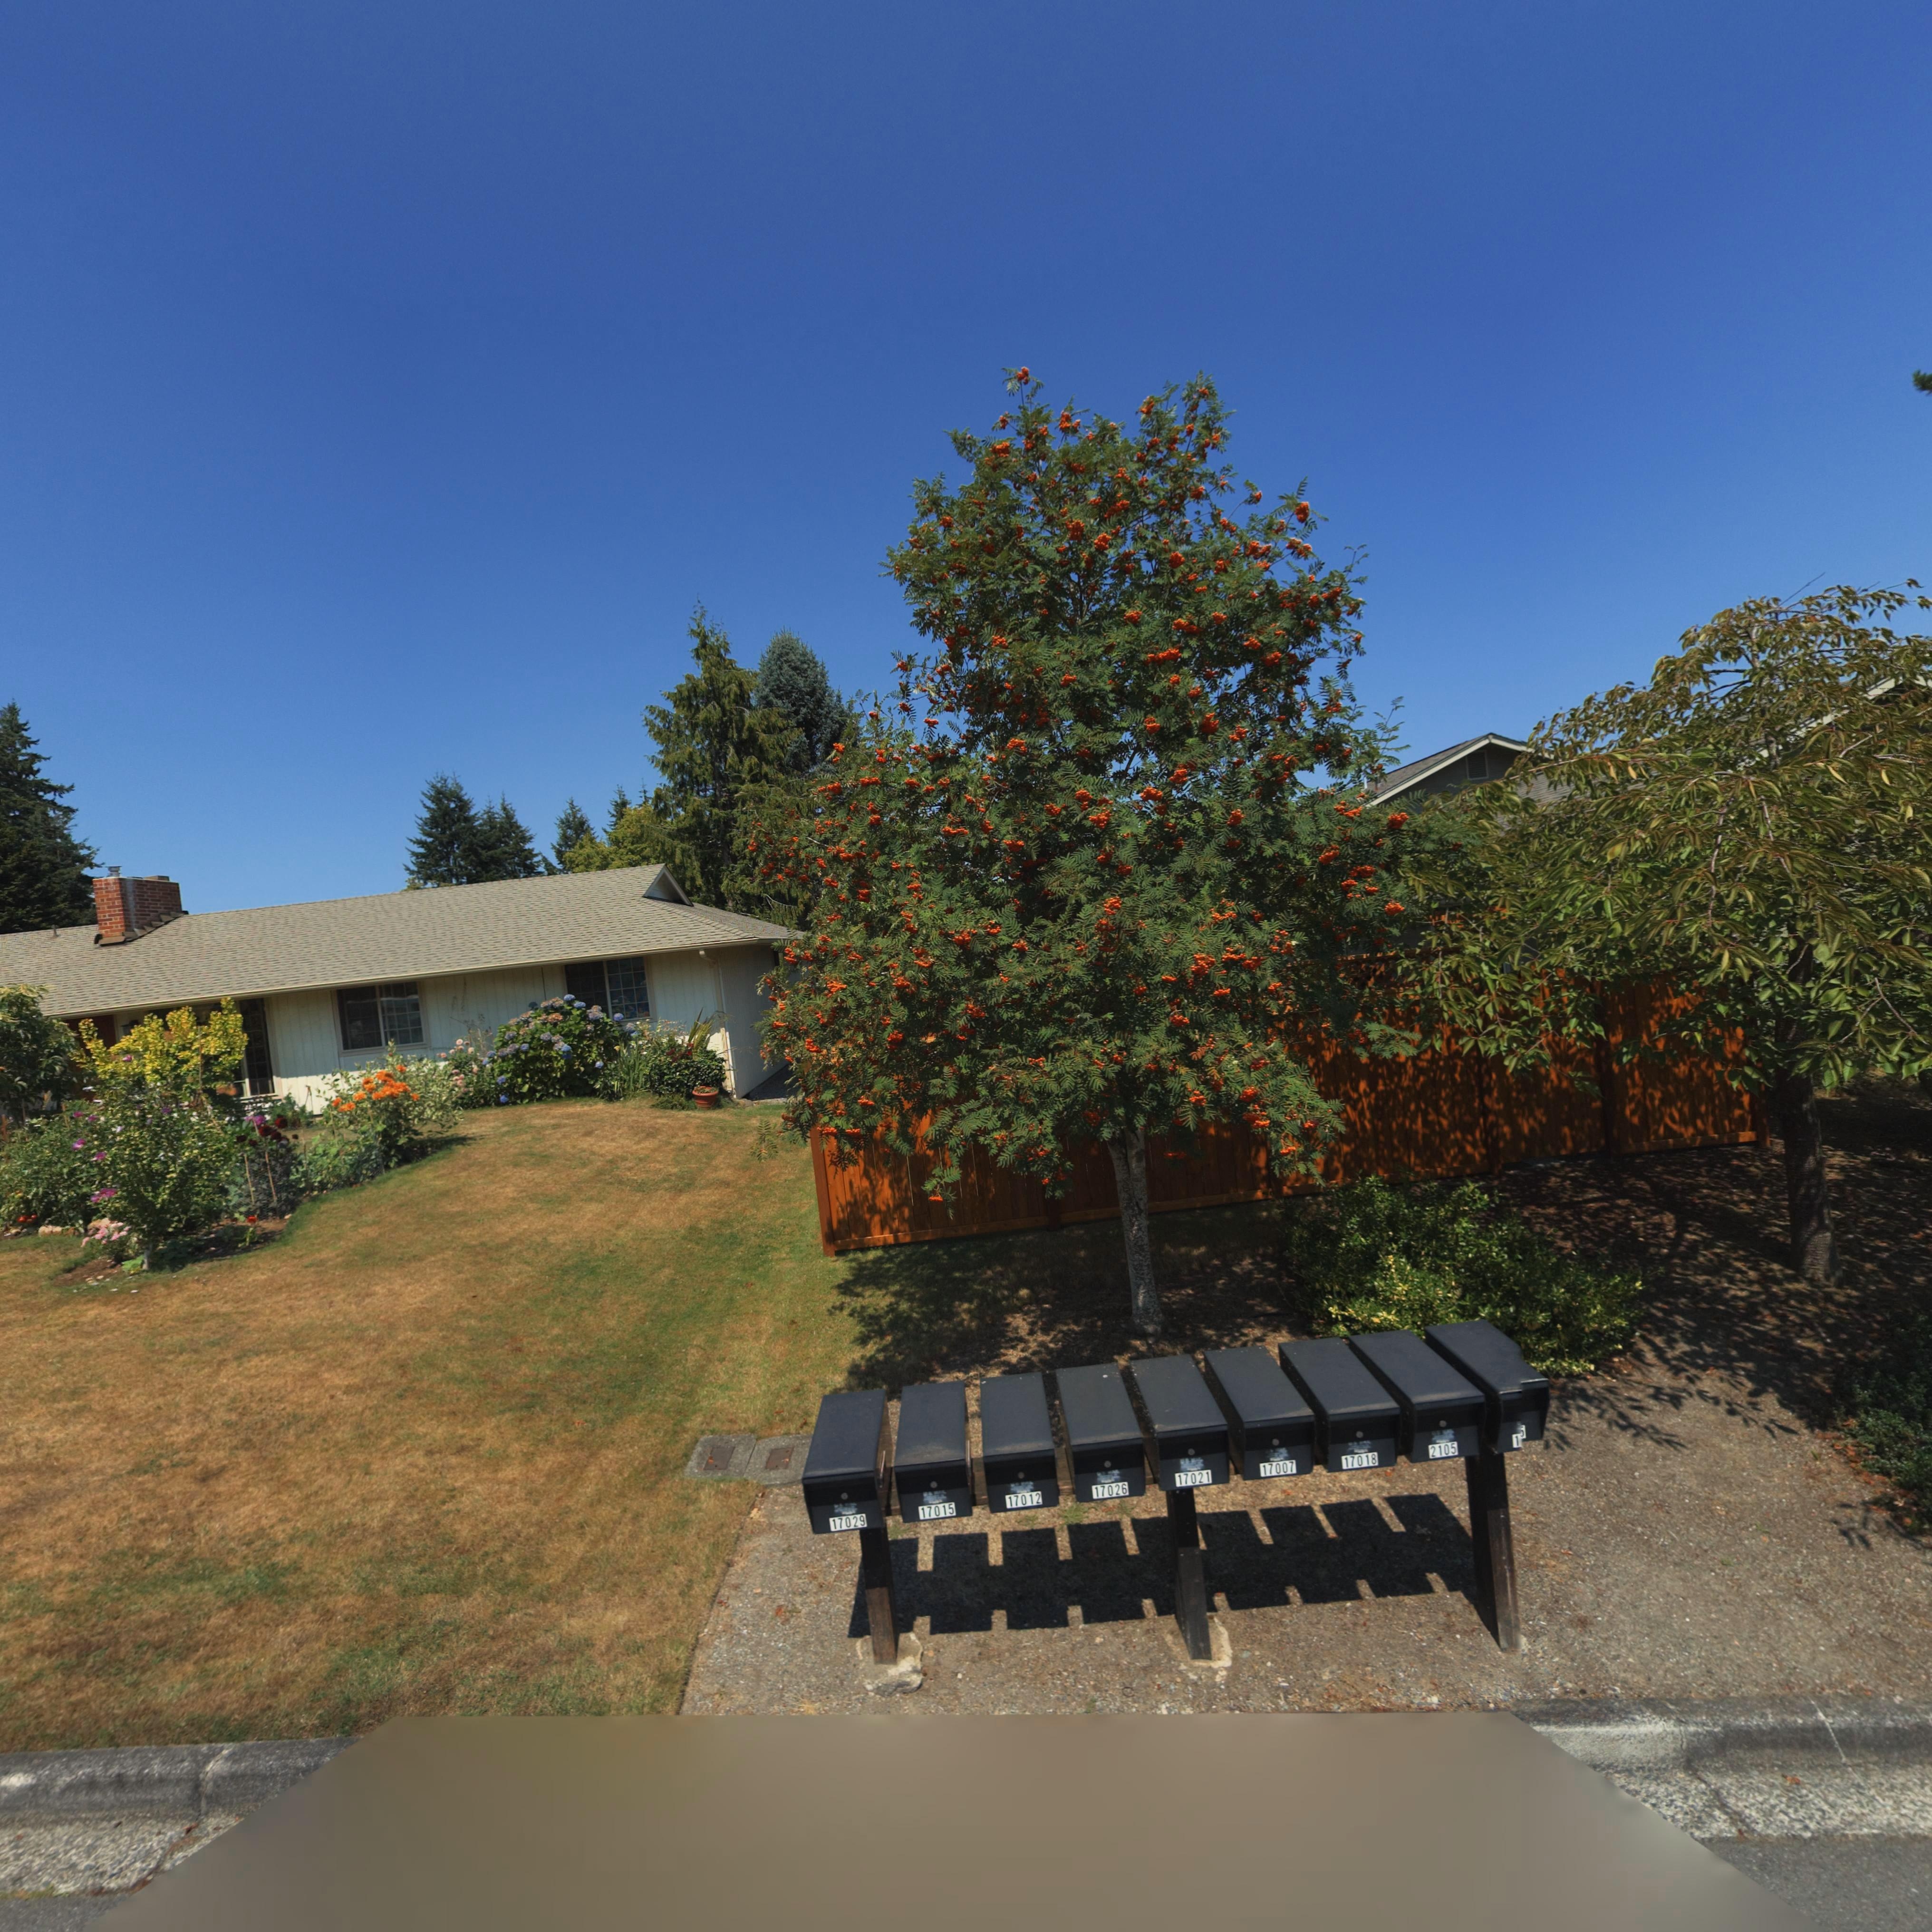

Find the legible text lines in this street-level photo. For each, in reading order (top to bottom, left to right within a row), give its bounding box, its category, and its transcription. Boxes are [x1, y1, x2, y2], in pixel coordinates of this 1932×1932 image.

[1430, 1442, 1457, 1458] StreetNumber: 2105
[1261, 1460, 1294, 1475] StreetNumber: 17007
[1343, 1453, 1377, 1468] StreetNumber: 17018
[1177, 1470, 1210, 1486] StreetNumber: 17021
[1094, 1482, 1128, 1497] StreetNumber: 17026
[1008, 1492, 1041, 1507] StreetNumber: 17012
[919, 1502, 954, 1519] StreetNumber: 17015
[831, 1514, 866, 1530] StreetNumber: 17029